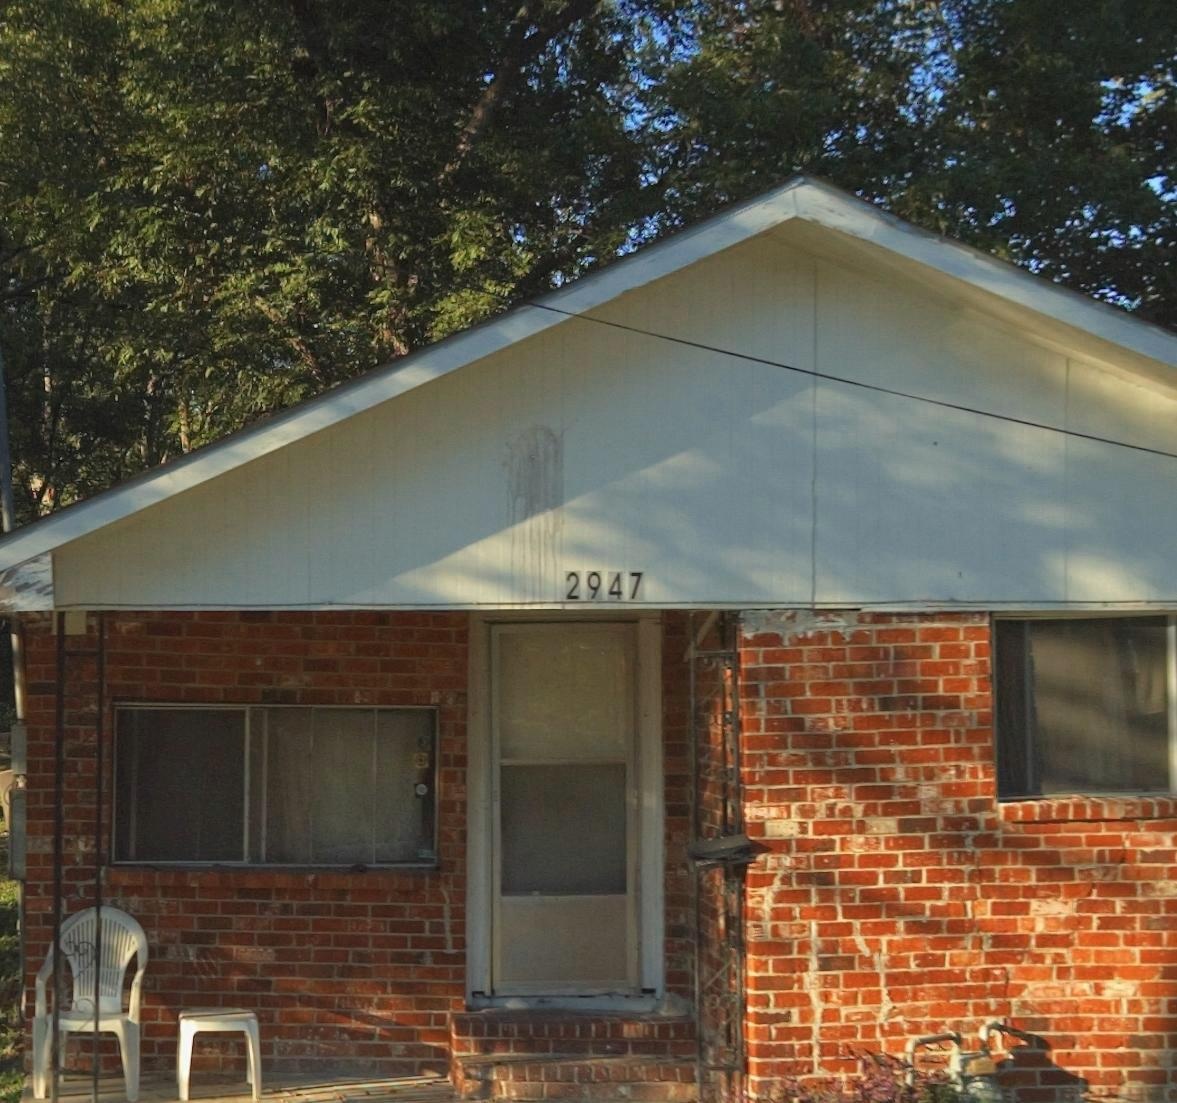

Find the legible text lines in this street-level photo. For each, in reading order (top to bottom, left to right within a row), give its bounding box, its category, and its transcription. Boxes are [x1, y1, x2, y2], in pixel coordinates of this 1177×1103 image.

[564, 569, 645, 603] StreetNumber: 2947